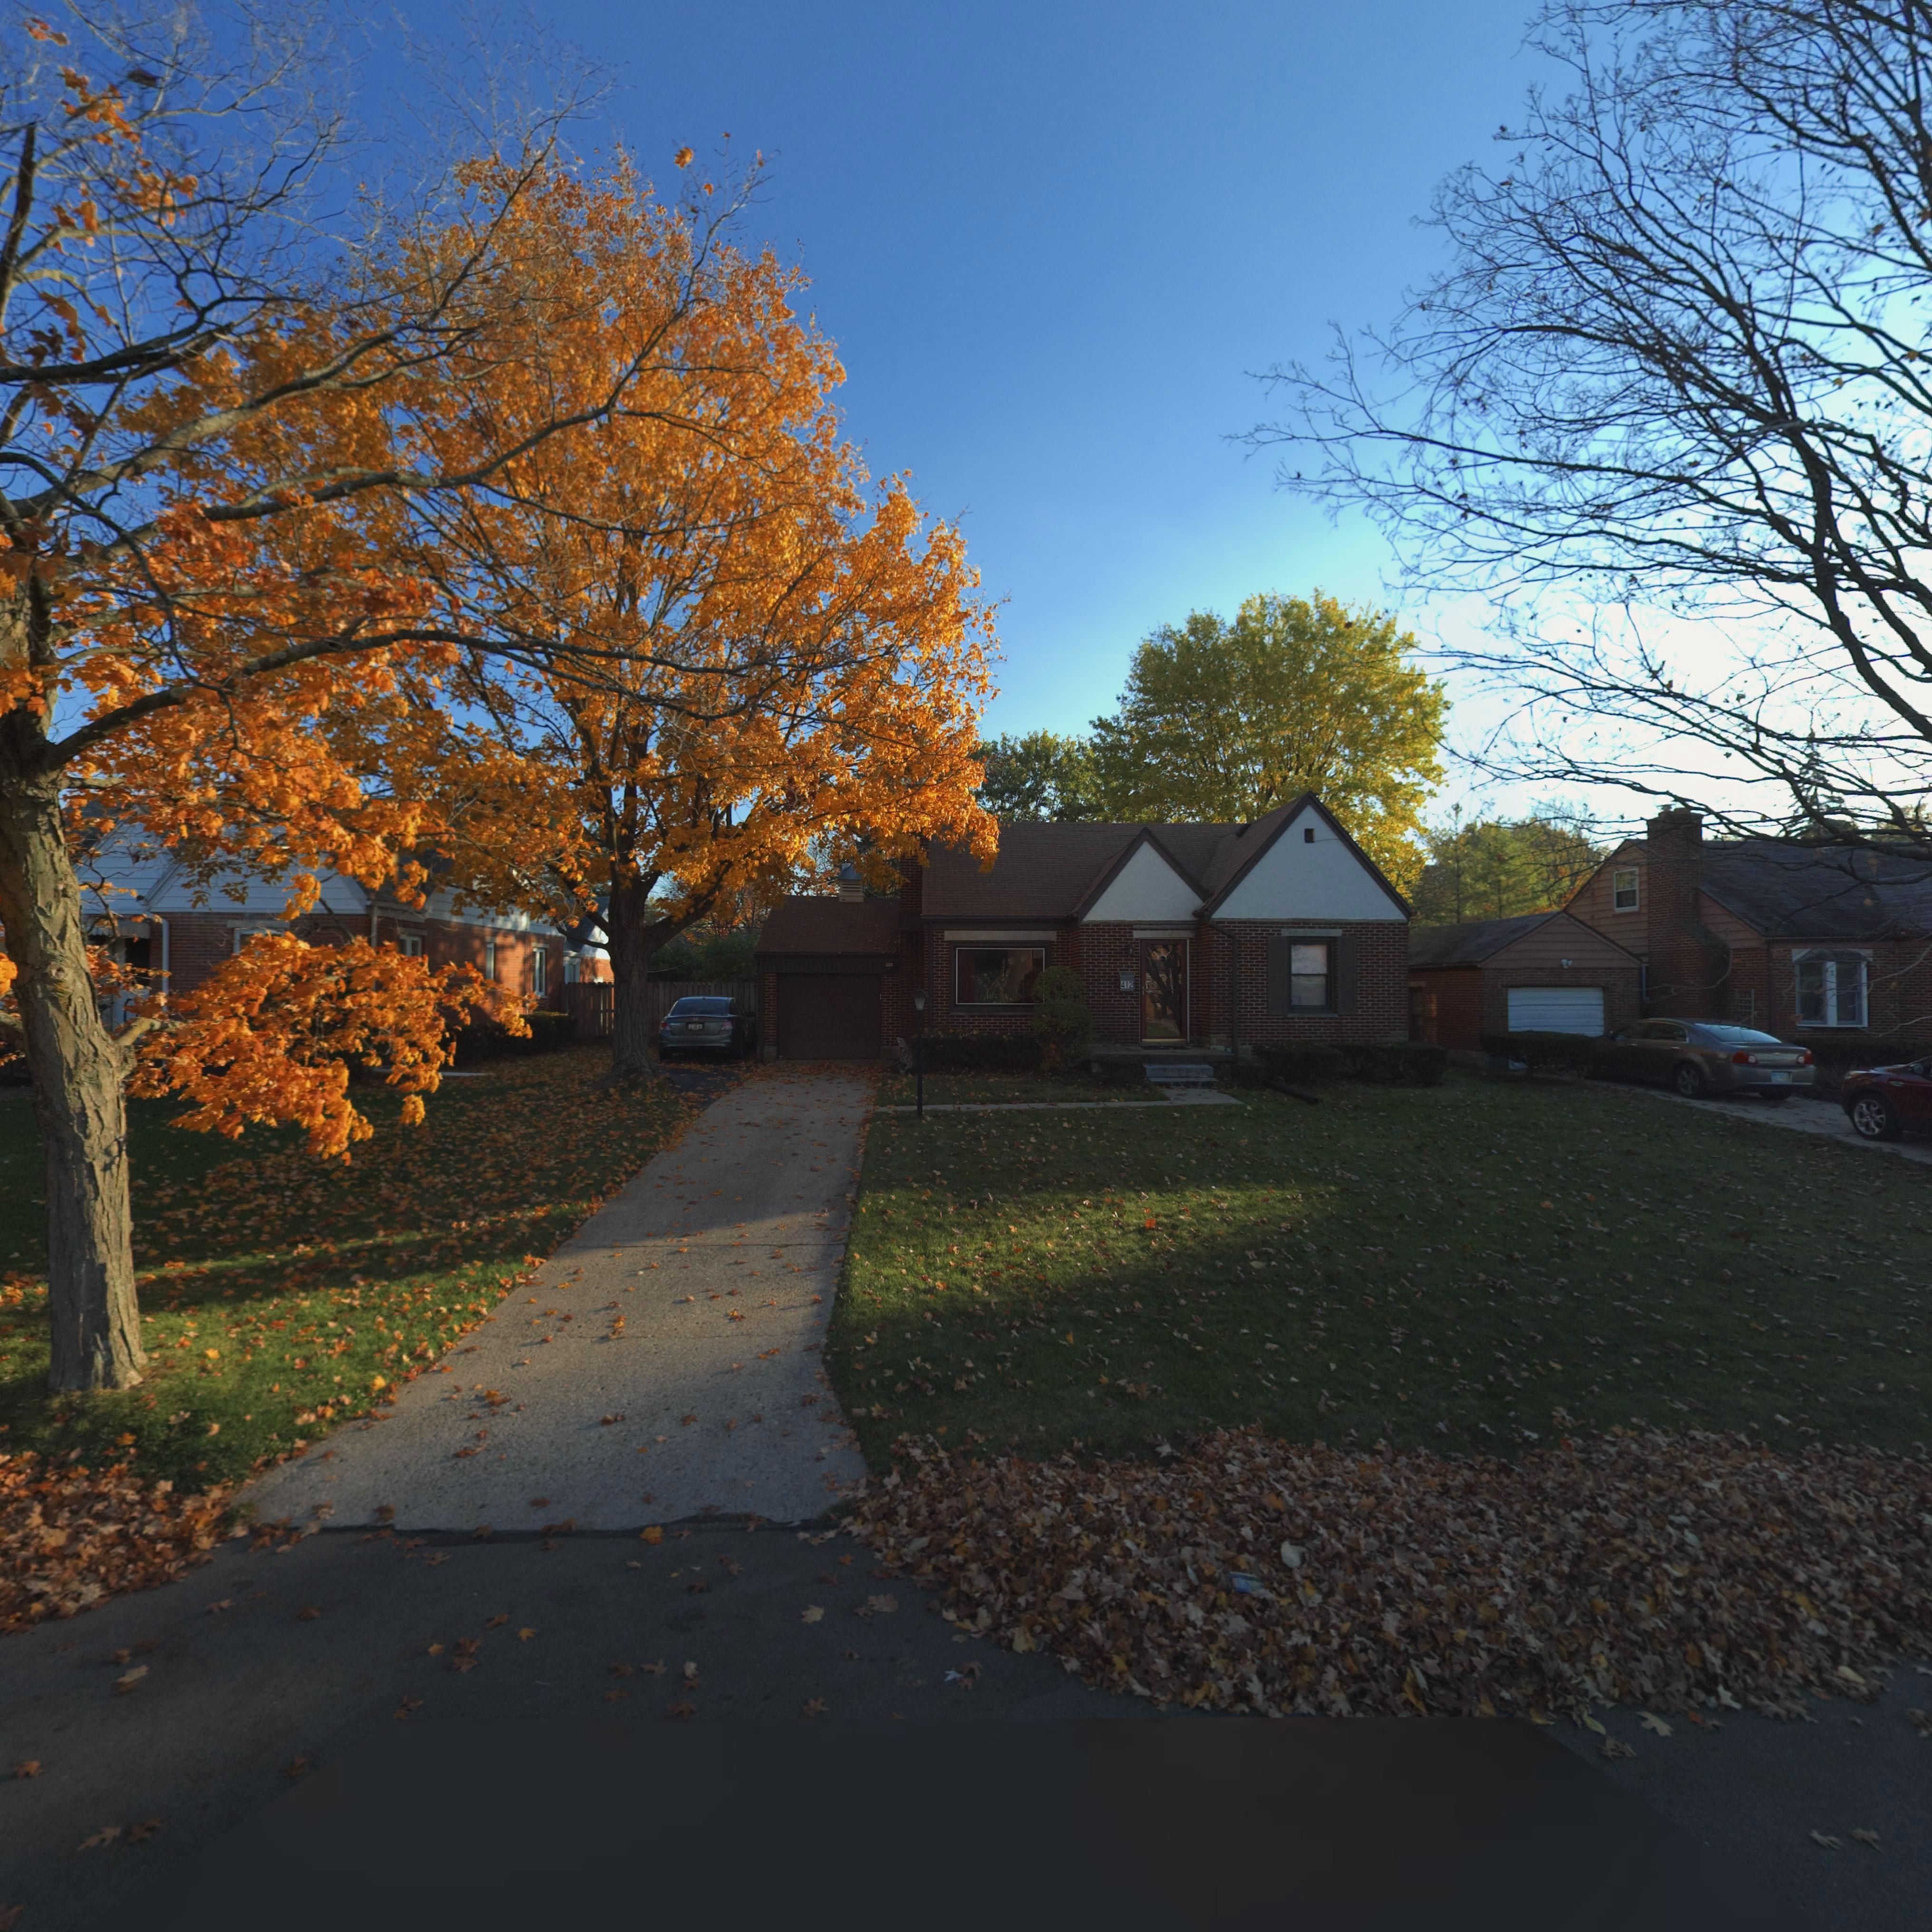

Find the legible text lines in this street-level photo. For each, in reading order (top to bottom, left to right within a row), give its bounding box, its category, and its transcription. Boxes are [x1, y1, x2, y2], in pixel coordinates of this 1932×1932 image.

[1120, 980, 1133, 988] StreetNumber: 412